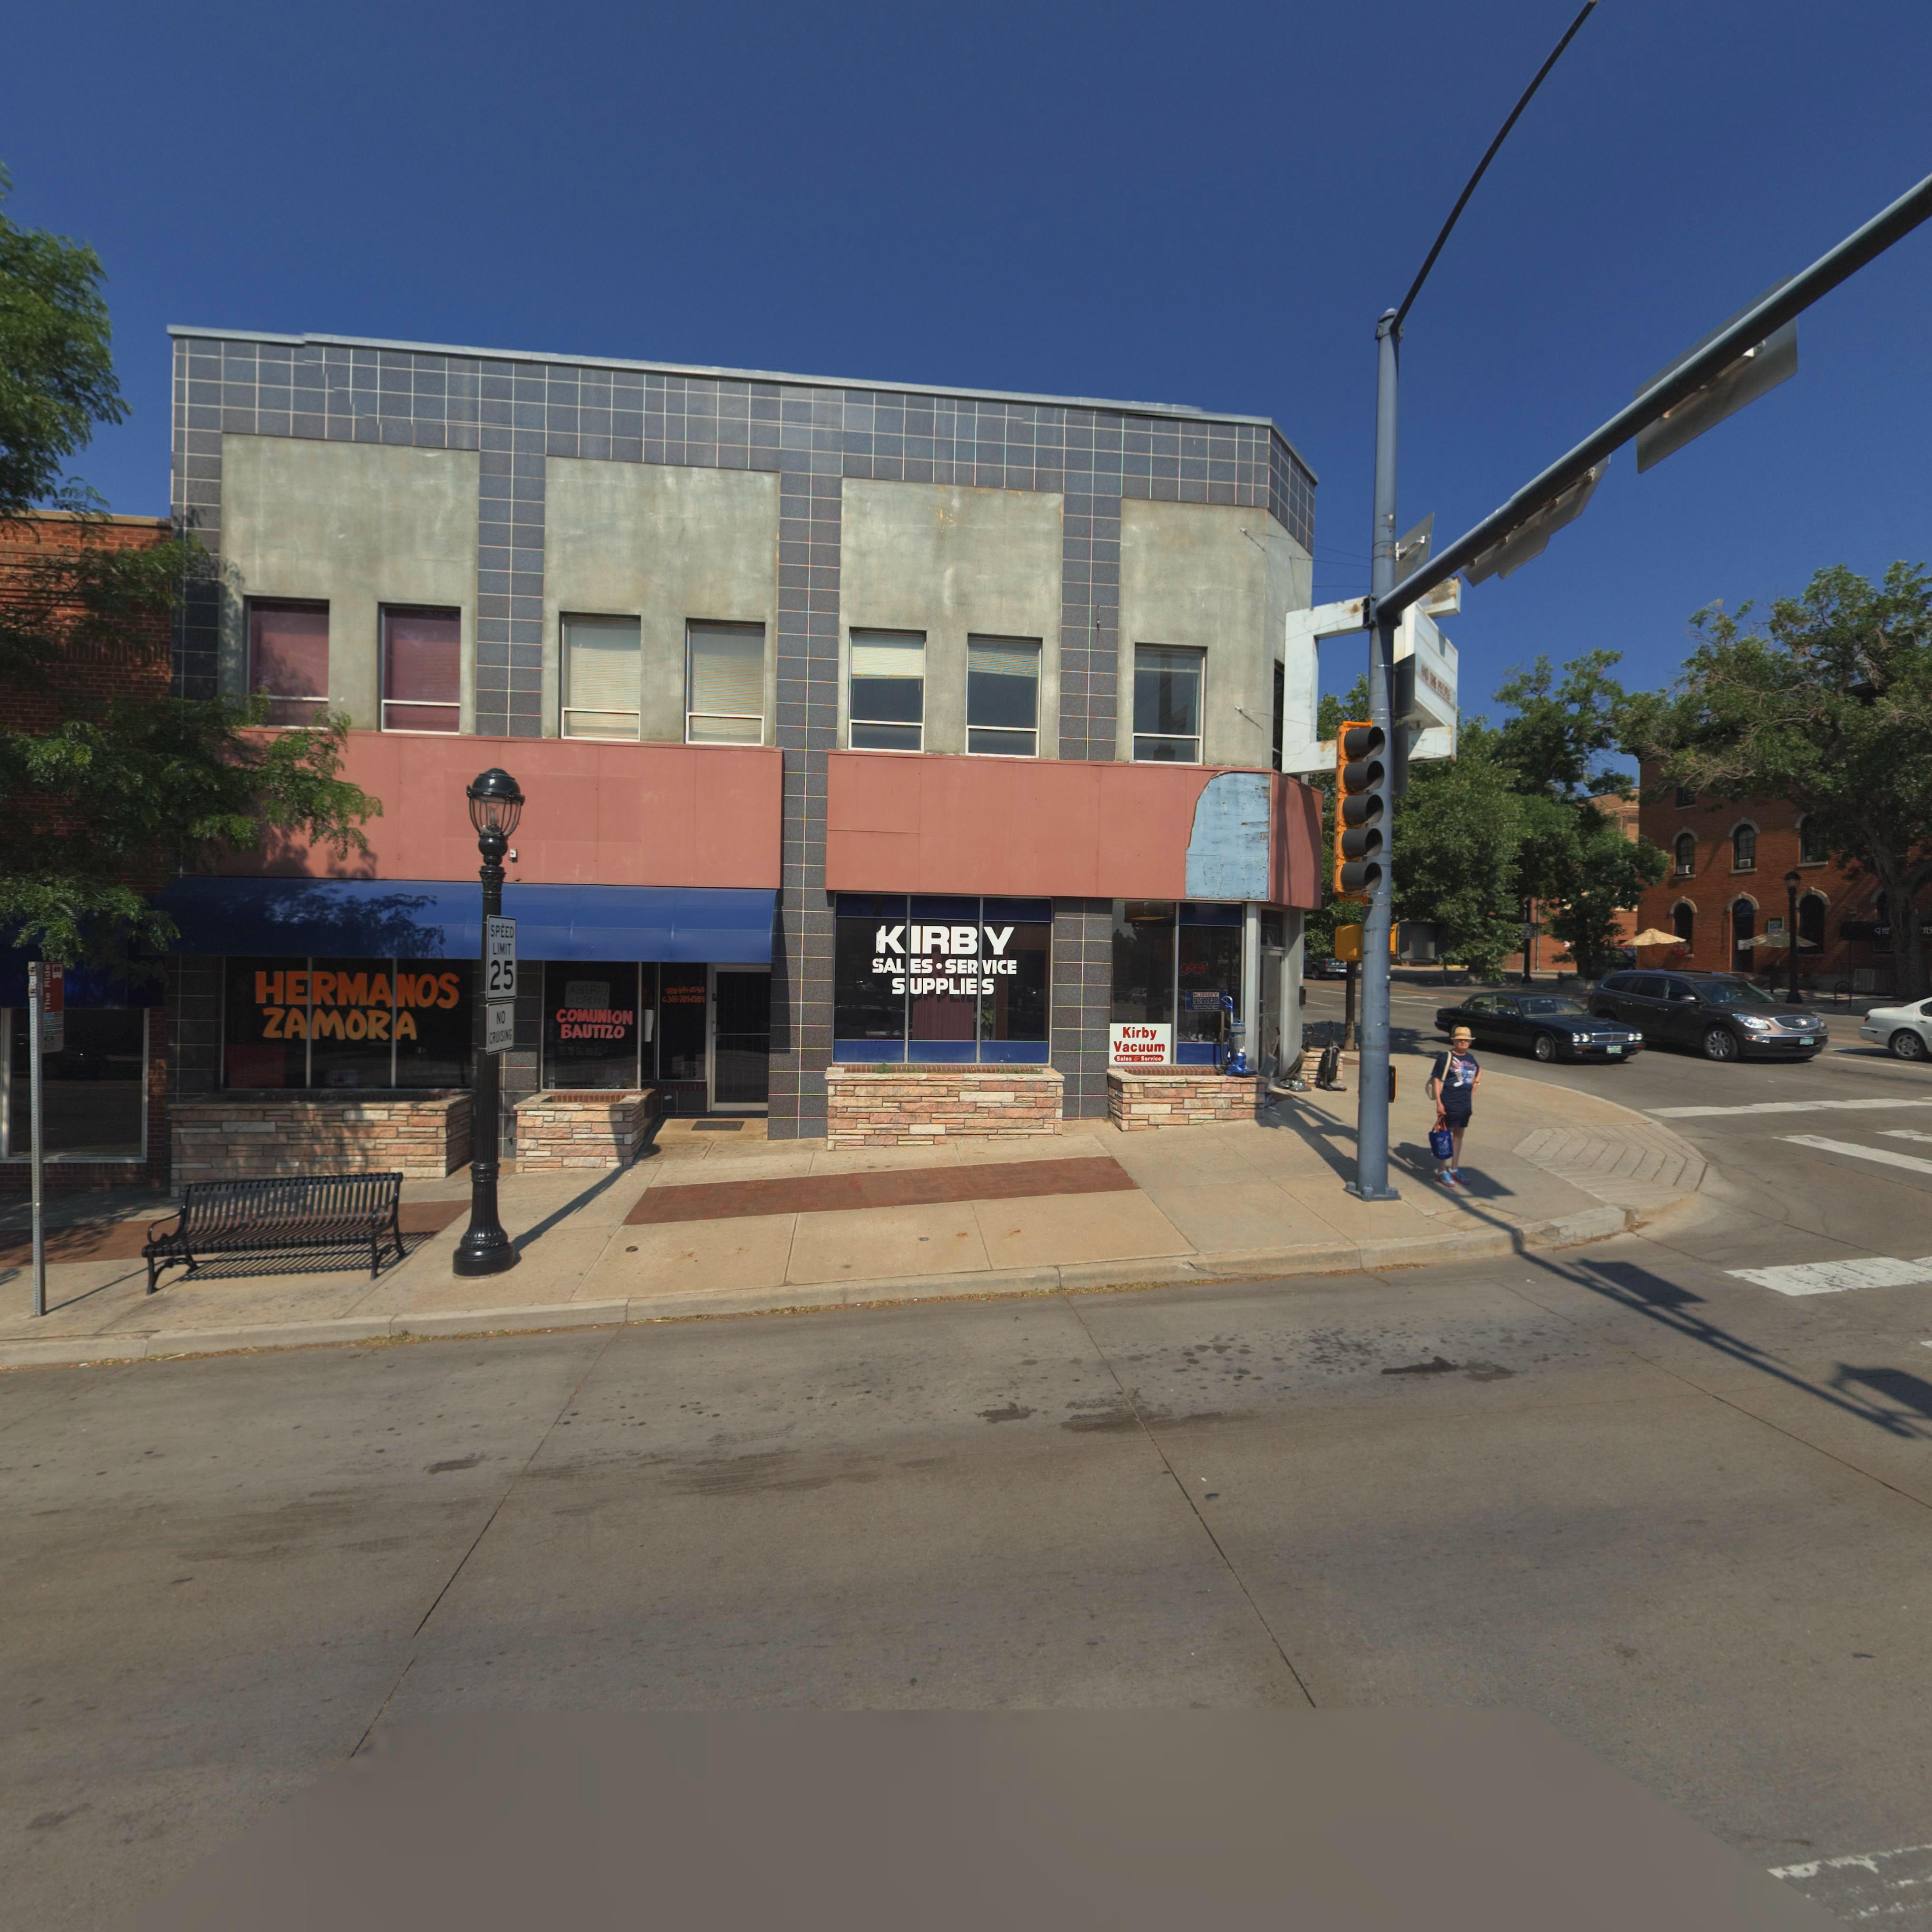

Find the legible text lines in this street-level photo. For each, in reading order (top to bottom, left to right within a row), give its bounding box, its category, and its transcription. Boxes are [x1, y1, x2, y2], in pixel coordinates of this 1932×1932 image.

[875, 923, 1016, 955] BusinessName: KIRBY
[254, 969, 460, 1009] BusinessName: HERMANOS
[260, 1006, 419, 1042] BusinessName: ZAMORA
[1122, 1025, 1157, 1040] BusinessName: Kirby